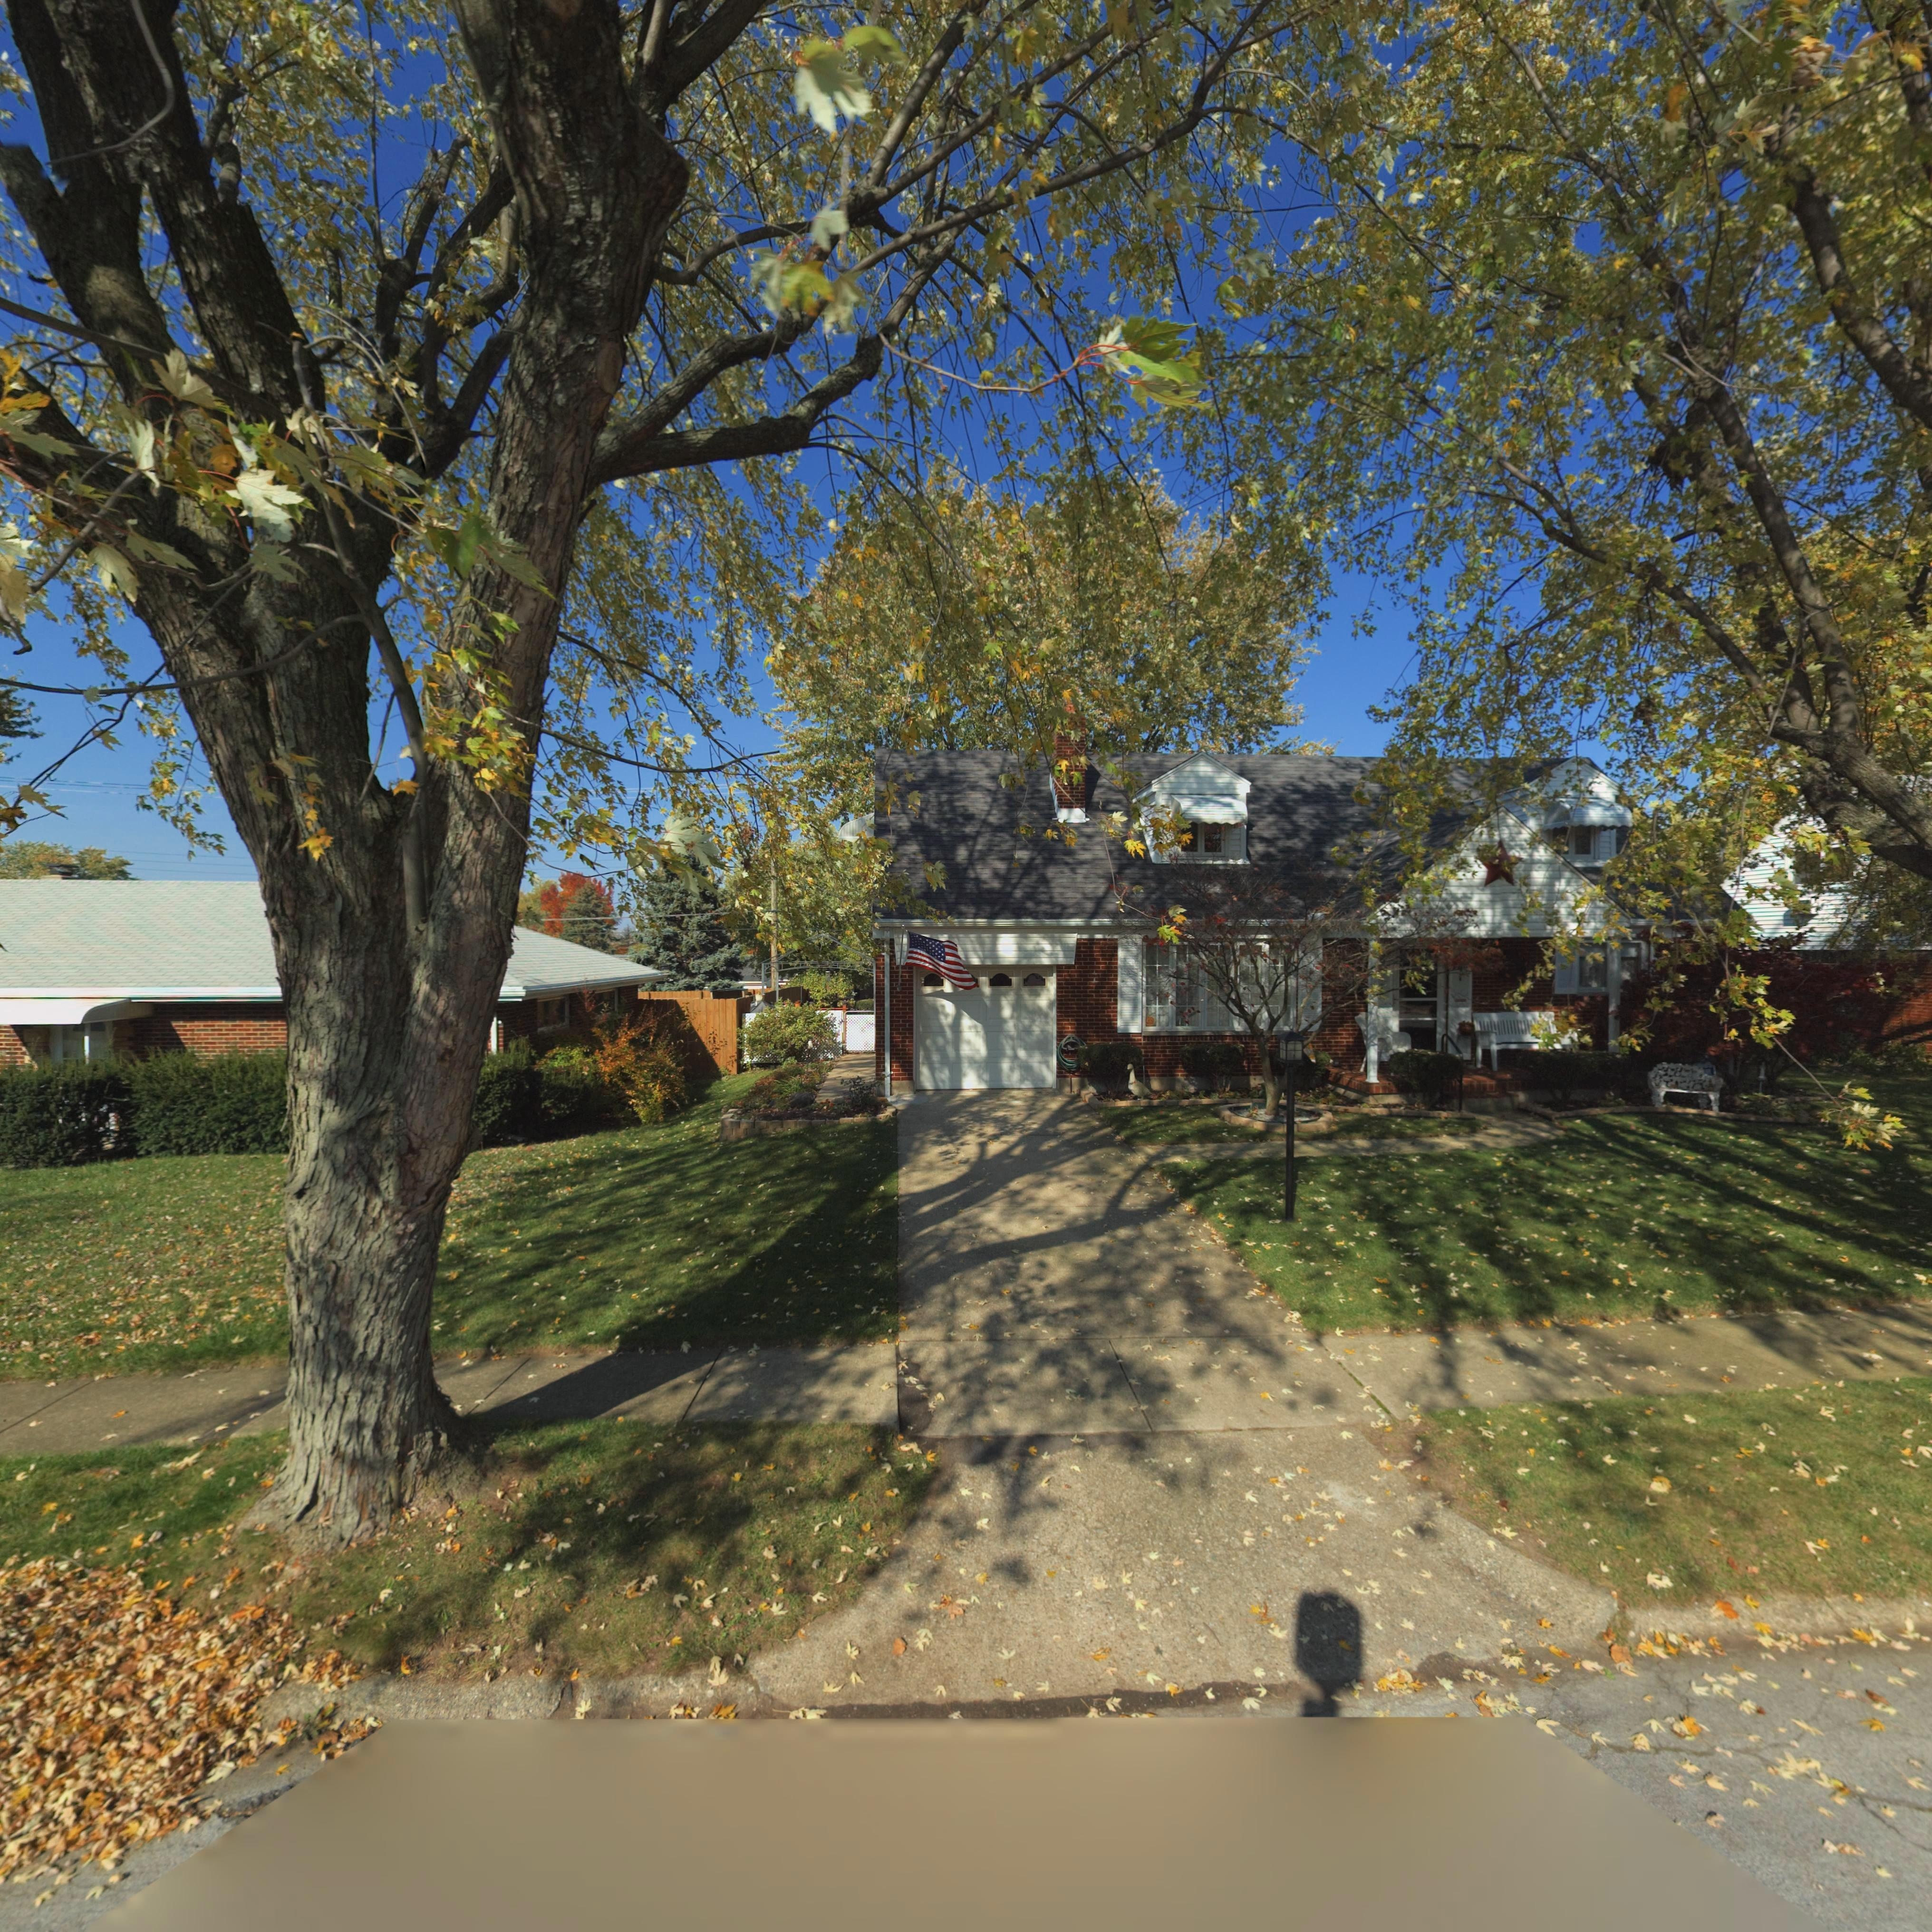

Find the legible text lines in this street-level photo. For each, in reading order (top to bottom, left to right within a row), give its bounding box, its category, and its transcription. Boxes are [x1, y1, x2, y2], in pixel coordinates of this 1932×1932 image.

[1457, 964, 1464, 982] StreetNumber: *1